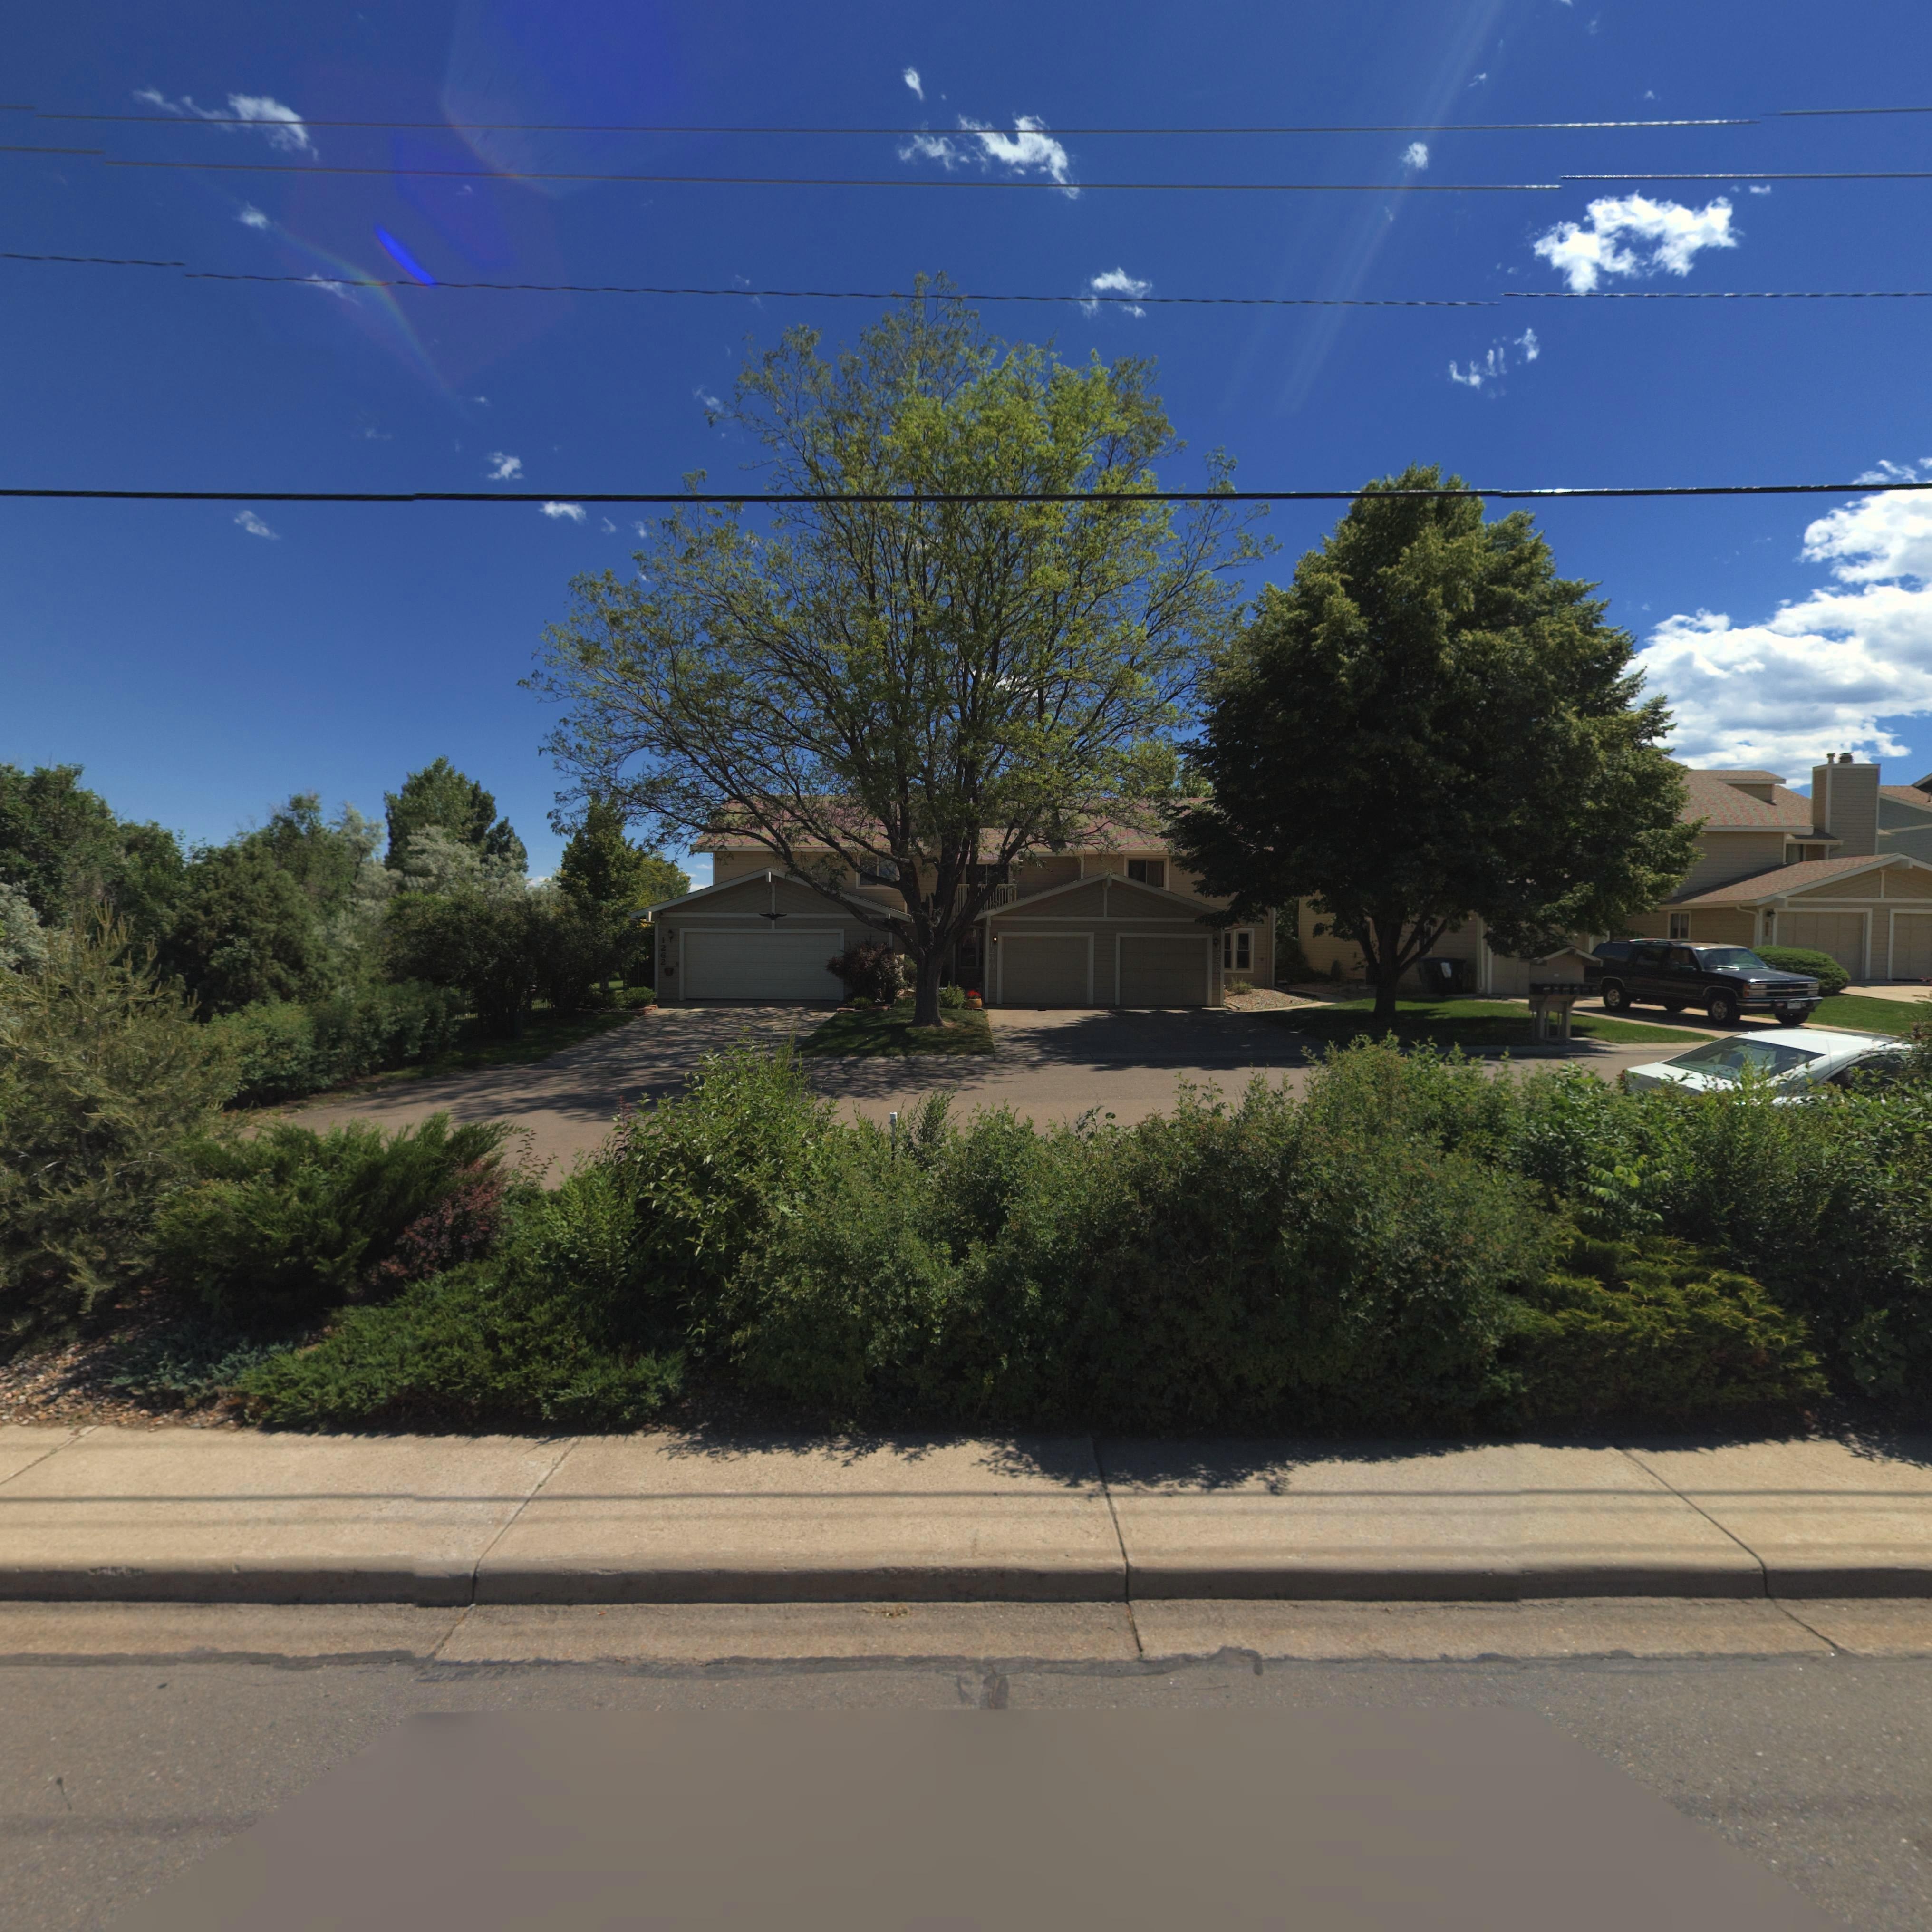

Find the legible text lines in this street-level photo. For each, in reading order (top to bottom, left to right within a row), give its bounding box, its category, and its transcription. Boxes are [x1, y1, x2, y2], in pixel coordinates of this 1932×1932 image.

[659, 936, 666, 965] StreetNumber: 1262
[988, 941, 995, 970] StreetNumber: 1260
[1215, 944, 1221, 973] StreetNumber: 1258